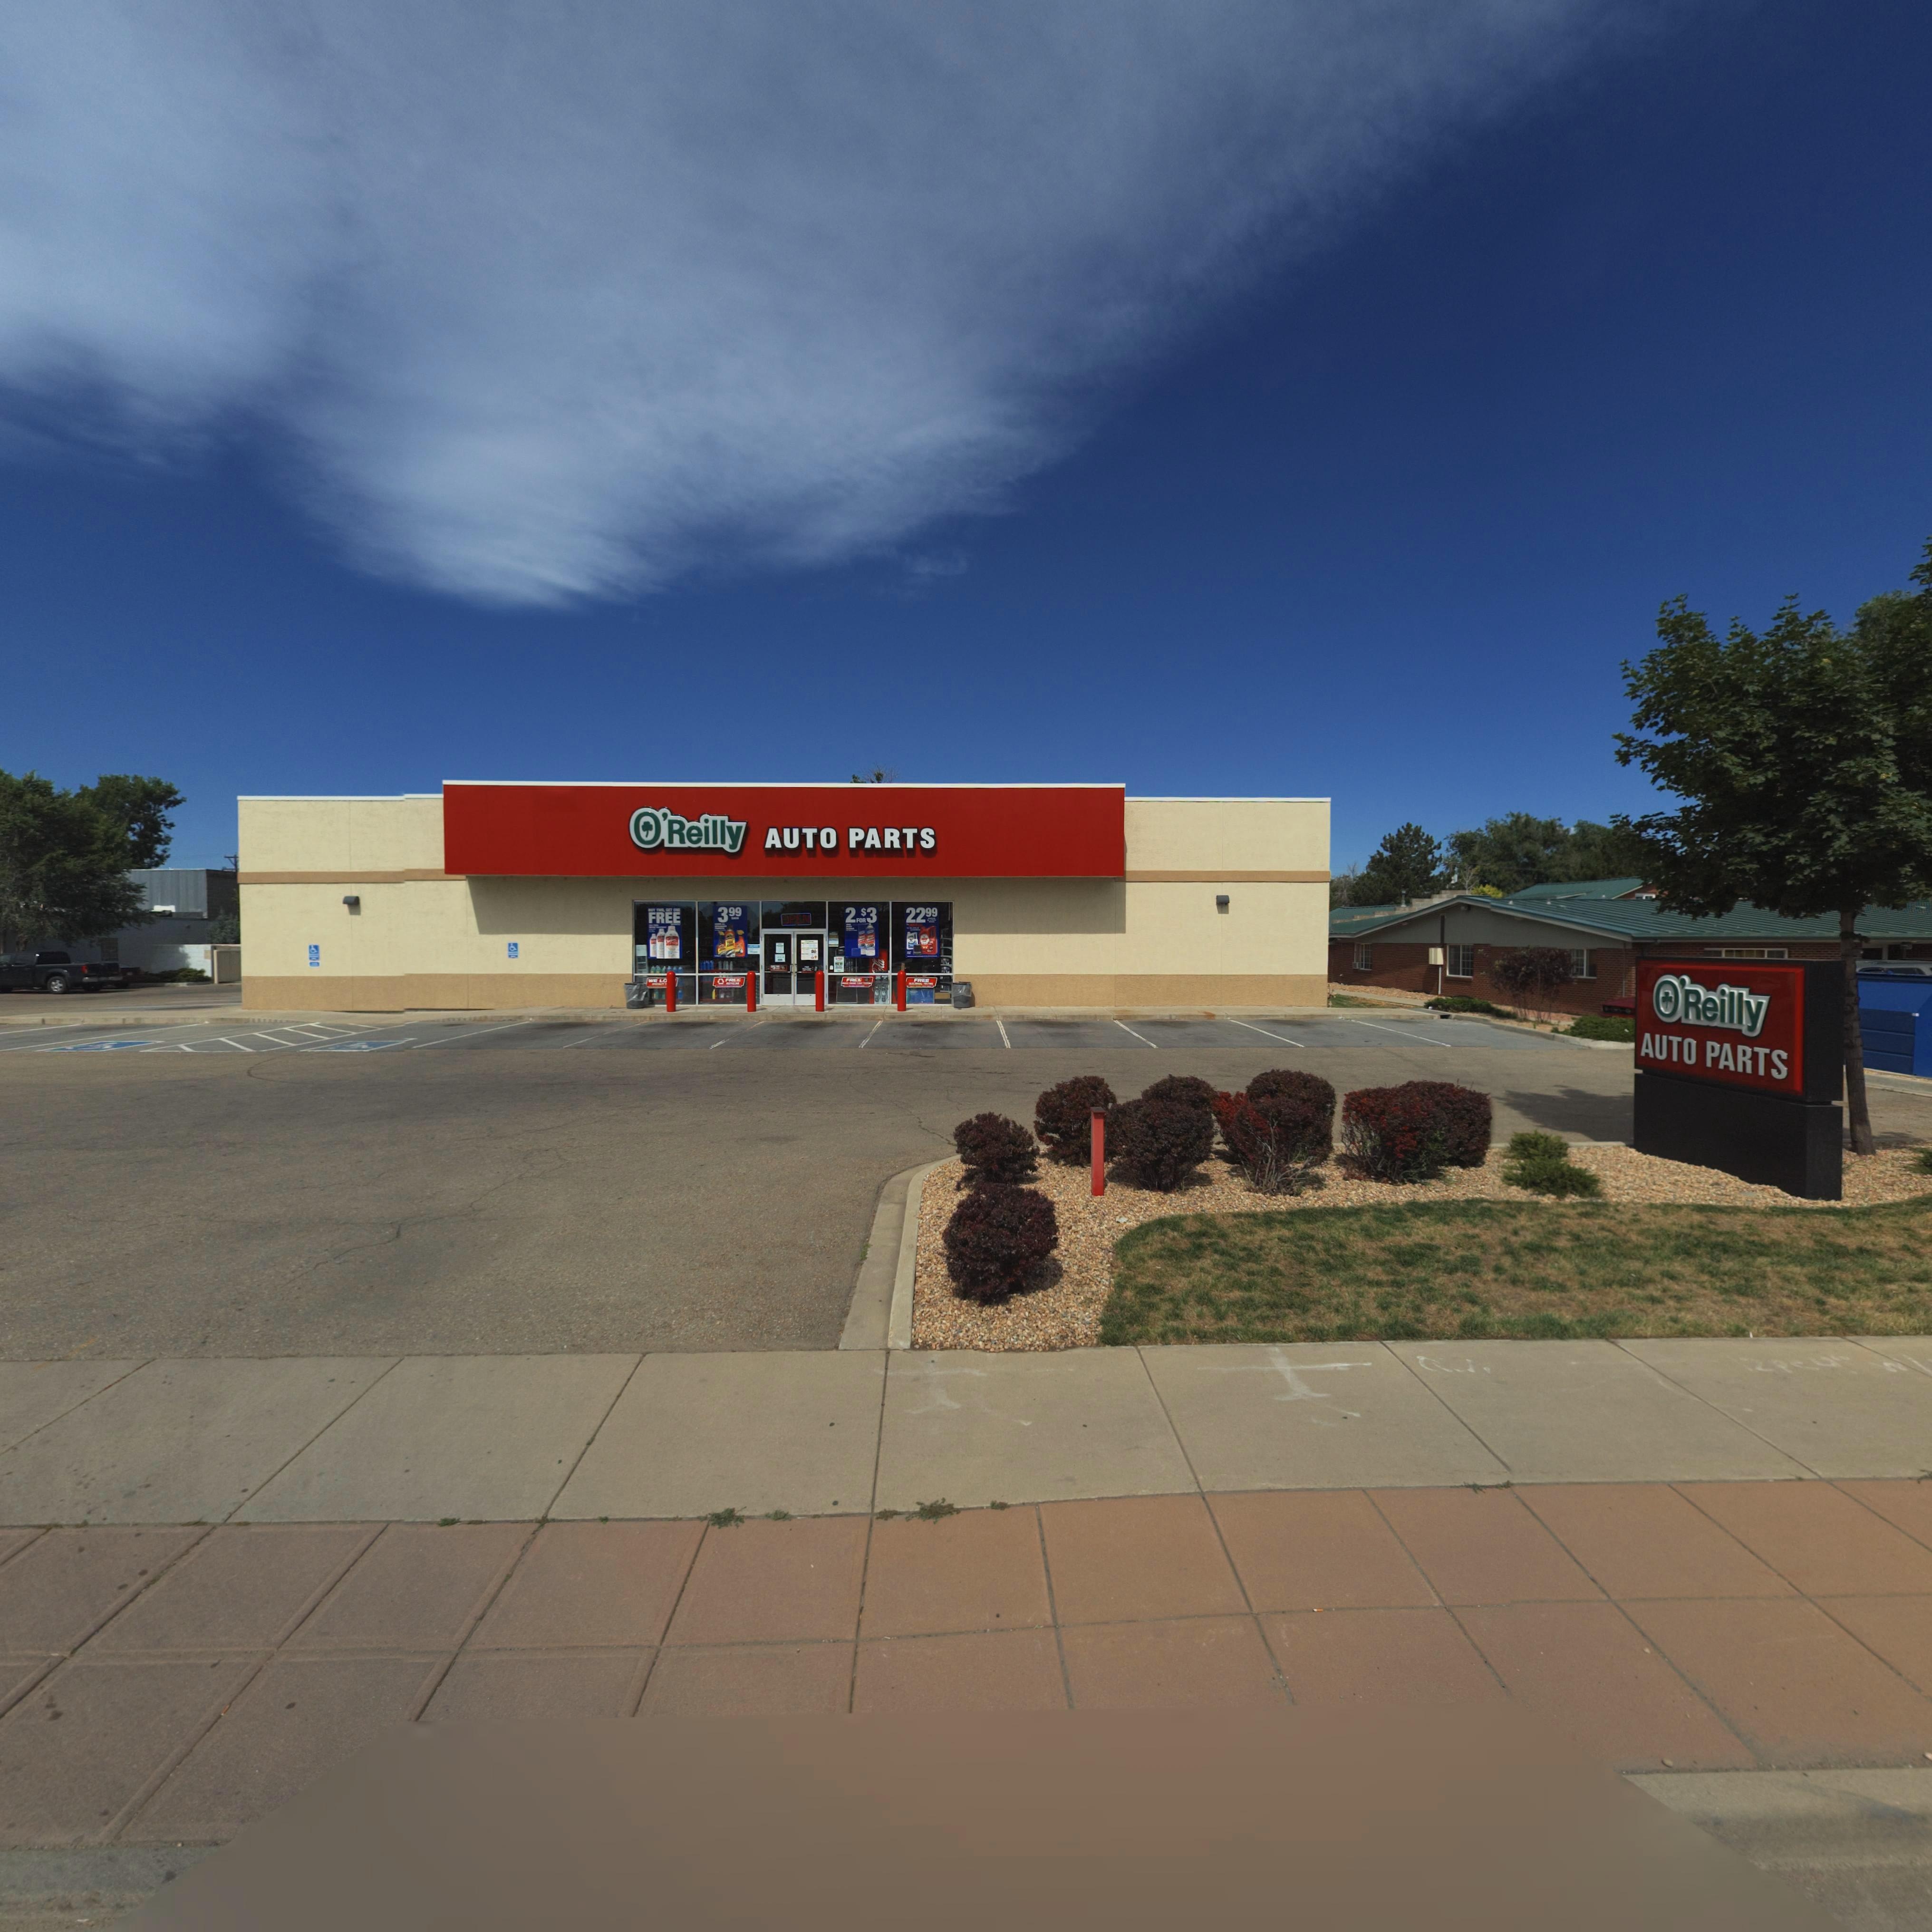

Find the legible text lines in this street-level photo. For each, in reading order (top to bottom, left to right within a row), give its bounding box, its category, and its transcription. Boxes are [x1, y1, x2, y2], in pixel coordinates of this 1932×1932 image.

[631, 810, 937, 852] BusinessName: O'Reilly AUTO PARTS
[1653, 977, 1767, 1034] BusinessName: O'Reilly
[1638, 1031, 1788, 1081] BusinessName: AUTO PARTS